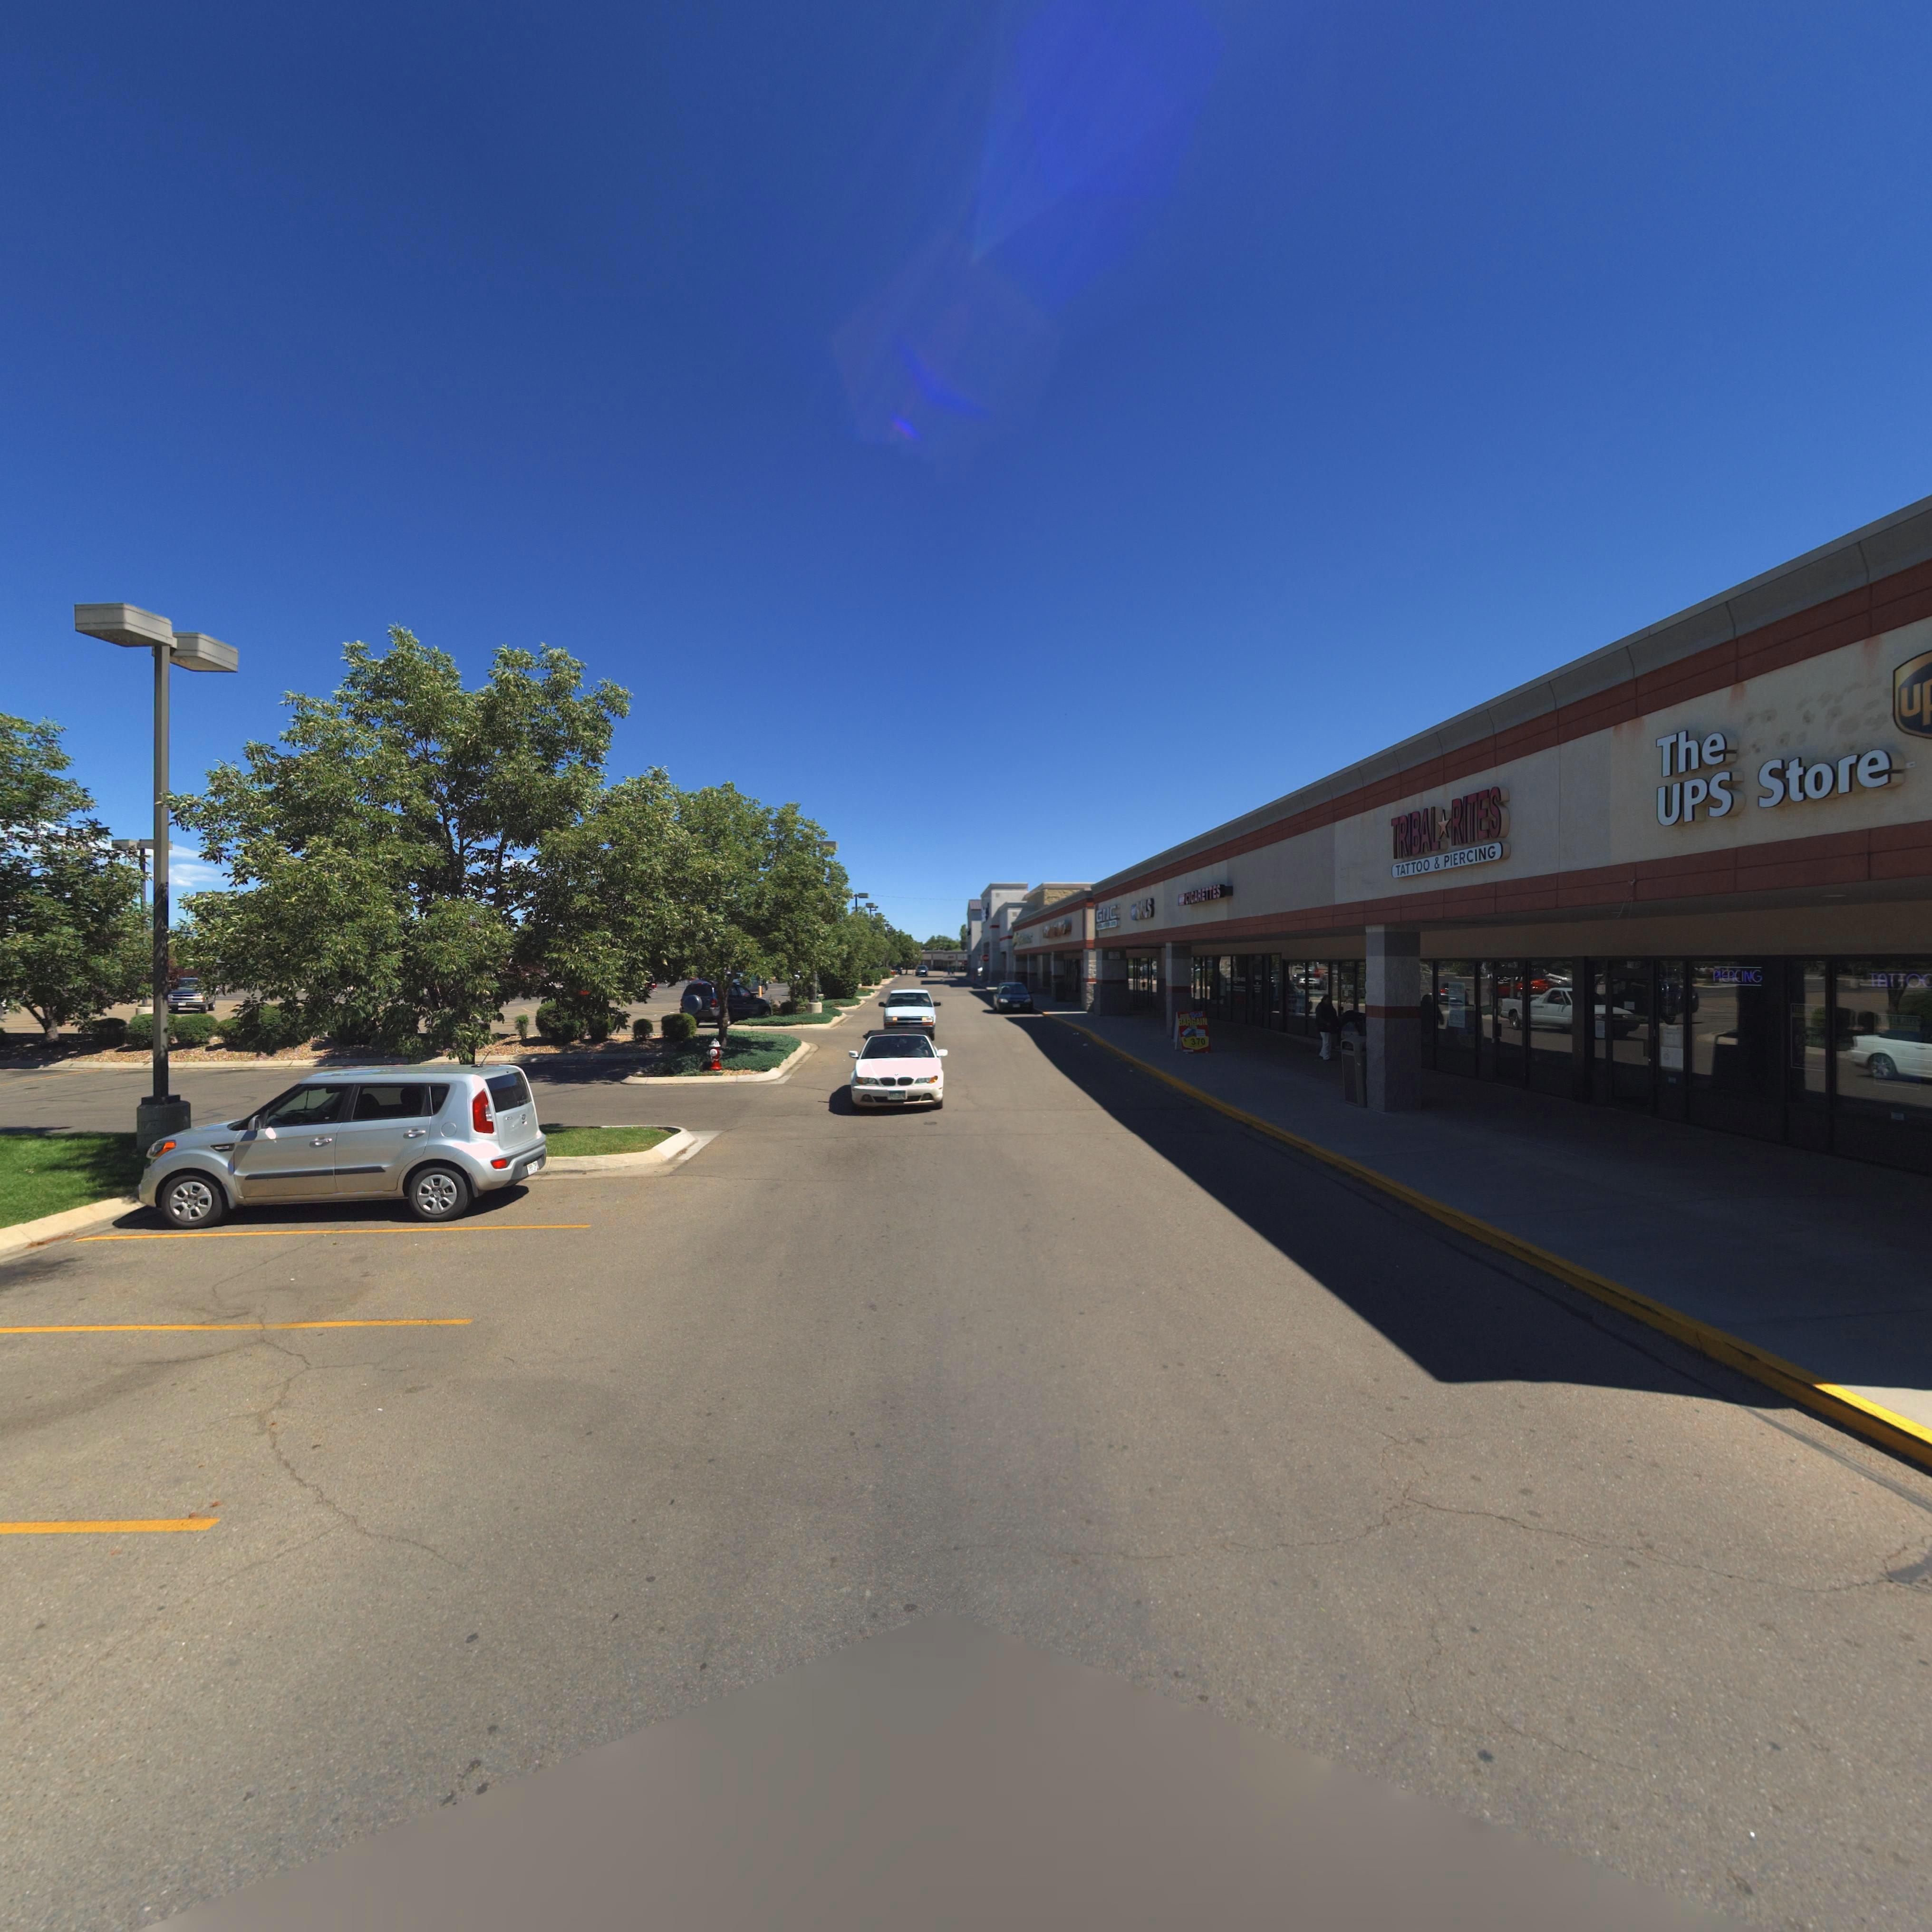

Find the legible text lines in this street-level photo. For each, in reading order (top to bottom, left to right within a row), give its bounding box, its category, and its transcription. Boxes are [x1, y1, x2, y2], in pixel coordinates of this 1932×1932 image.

[1655, 729, 1726, 779] BusinessName: The
[1656, 749, 1891, 826] BusinessName: UPS Store
[1390, 786, 1500, 860] BusinessName: TRIBAL*RITES
[1185, 884, 1220, 904] BusinessName: CIGARETTES
[980, 901, 990, 925] BusinessName: S******t
[1096, 905, 1117, 922] BusinessName: GNC
[1135, 897, 1154, 920] BusinessName: NAILS
[1876, 1014, 1920, 1026] BusinessName: TRIBAL RITES